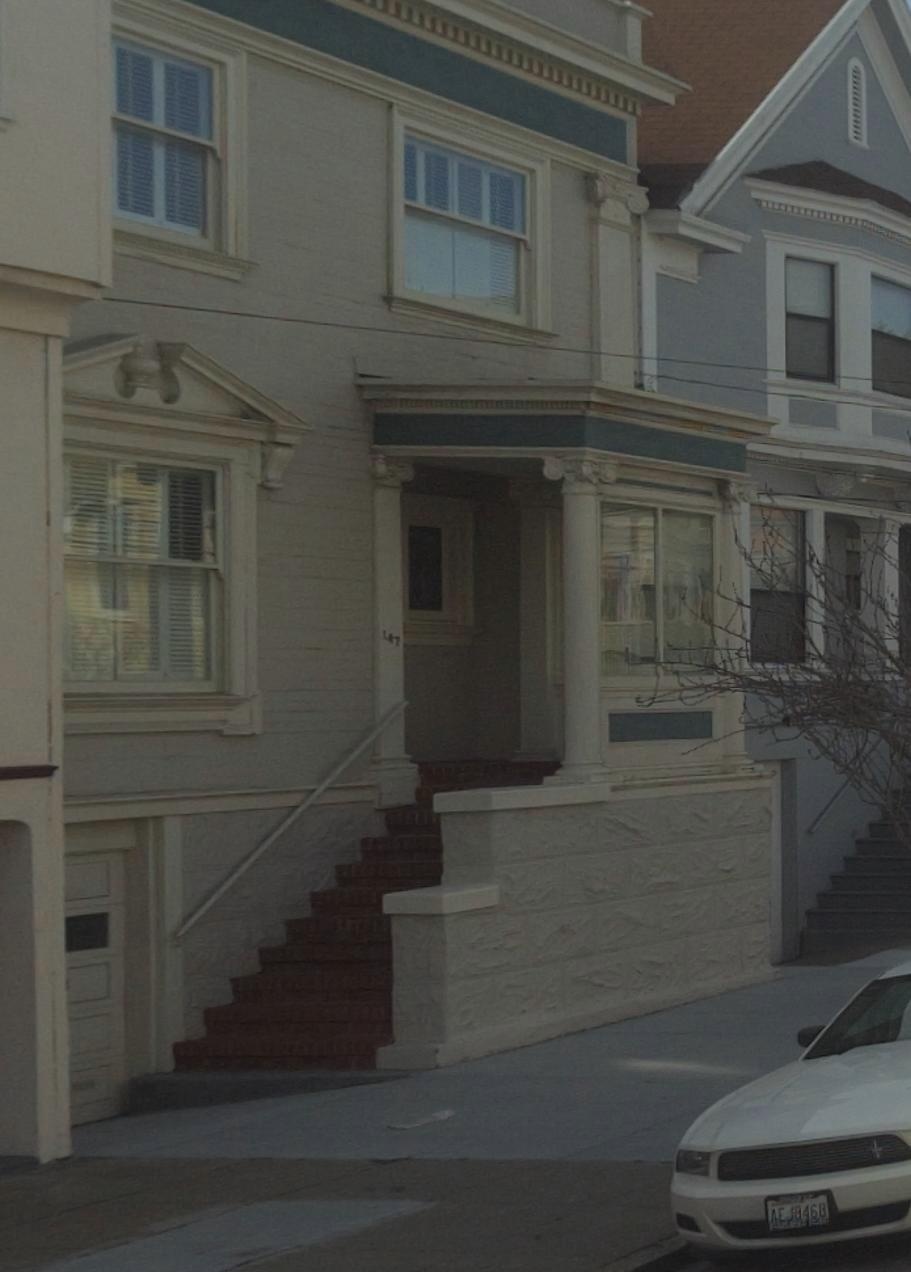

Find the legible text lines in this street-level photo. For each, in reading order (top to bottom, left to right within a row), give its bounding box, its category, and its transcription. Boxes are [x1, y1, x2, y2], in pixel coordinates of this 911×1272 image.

[380, 628, 402, 648] StreetNumber: 147
[776, 1199, 829, 1226] None: EJ8460